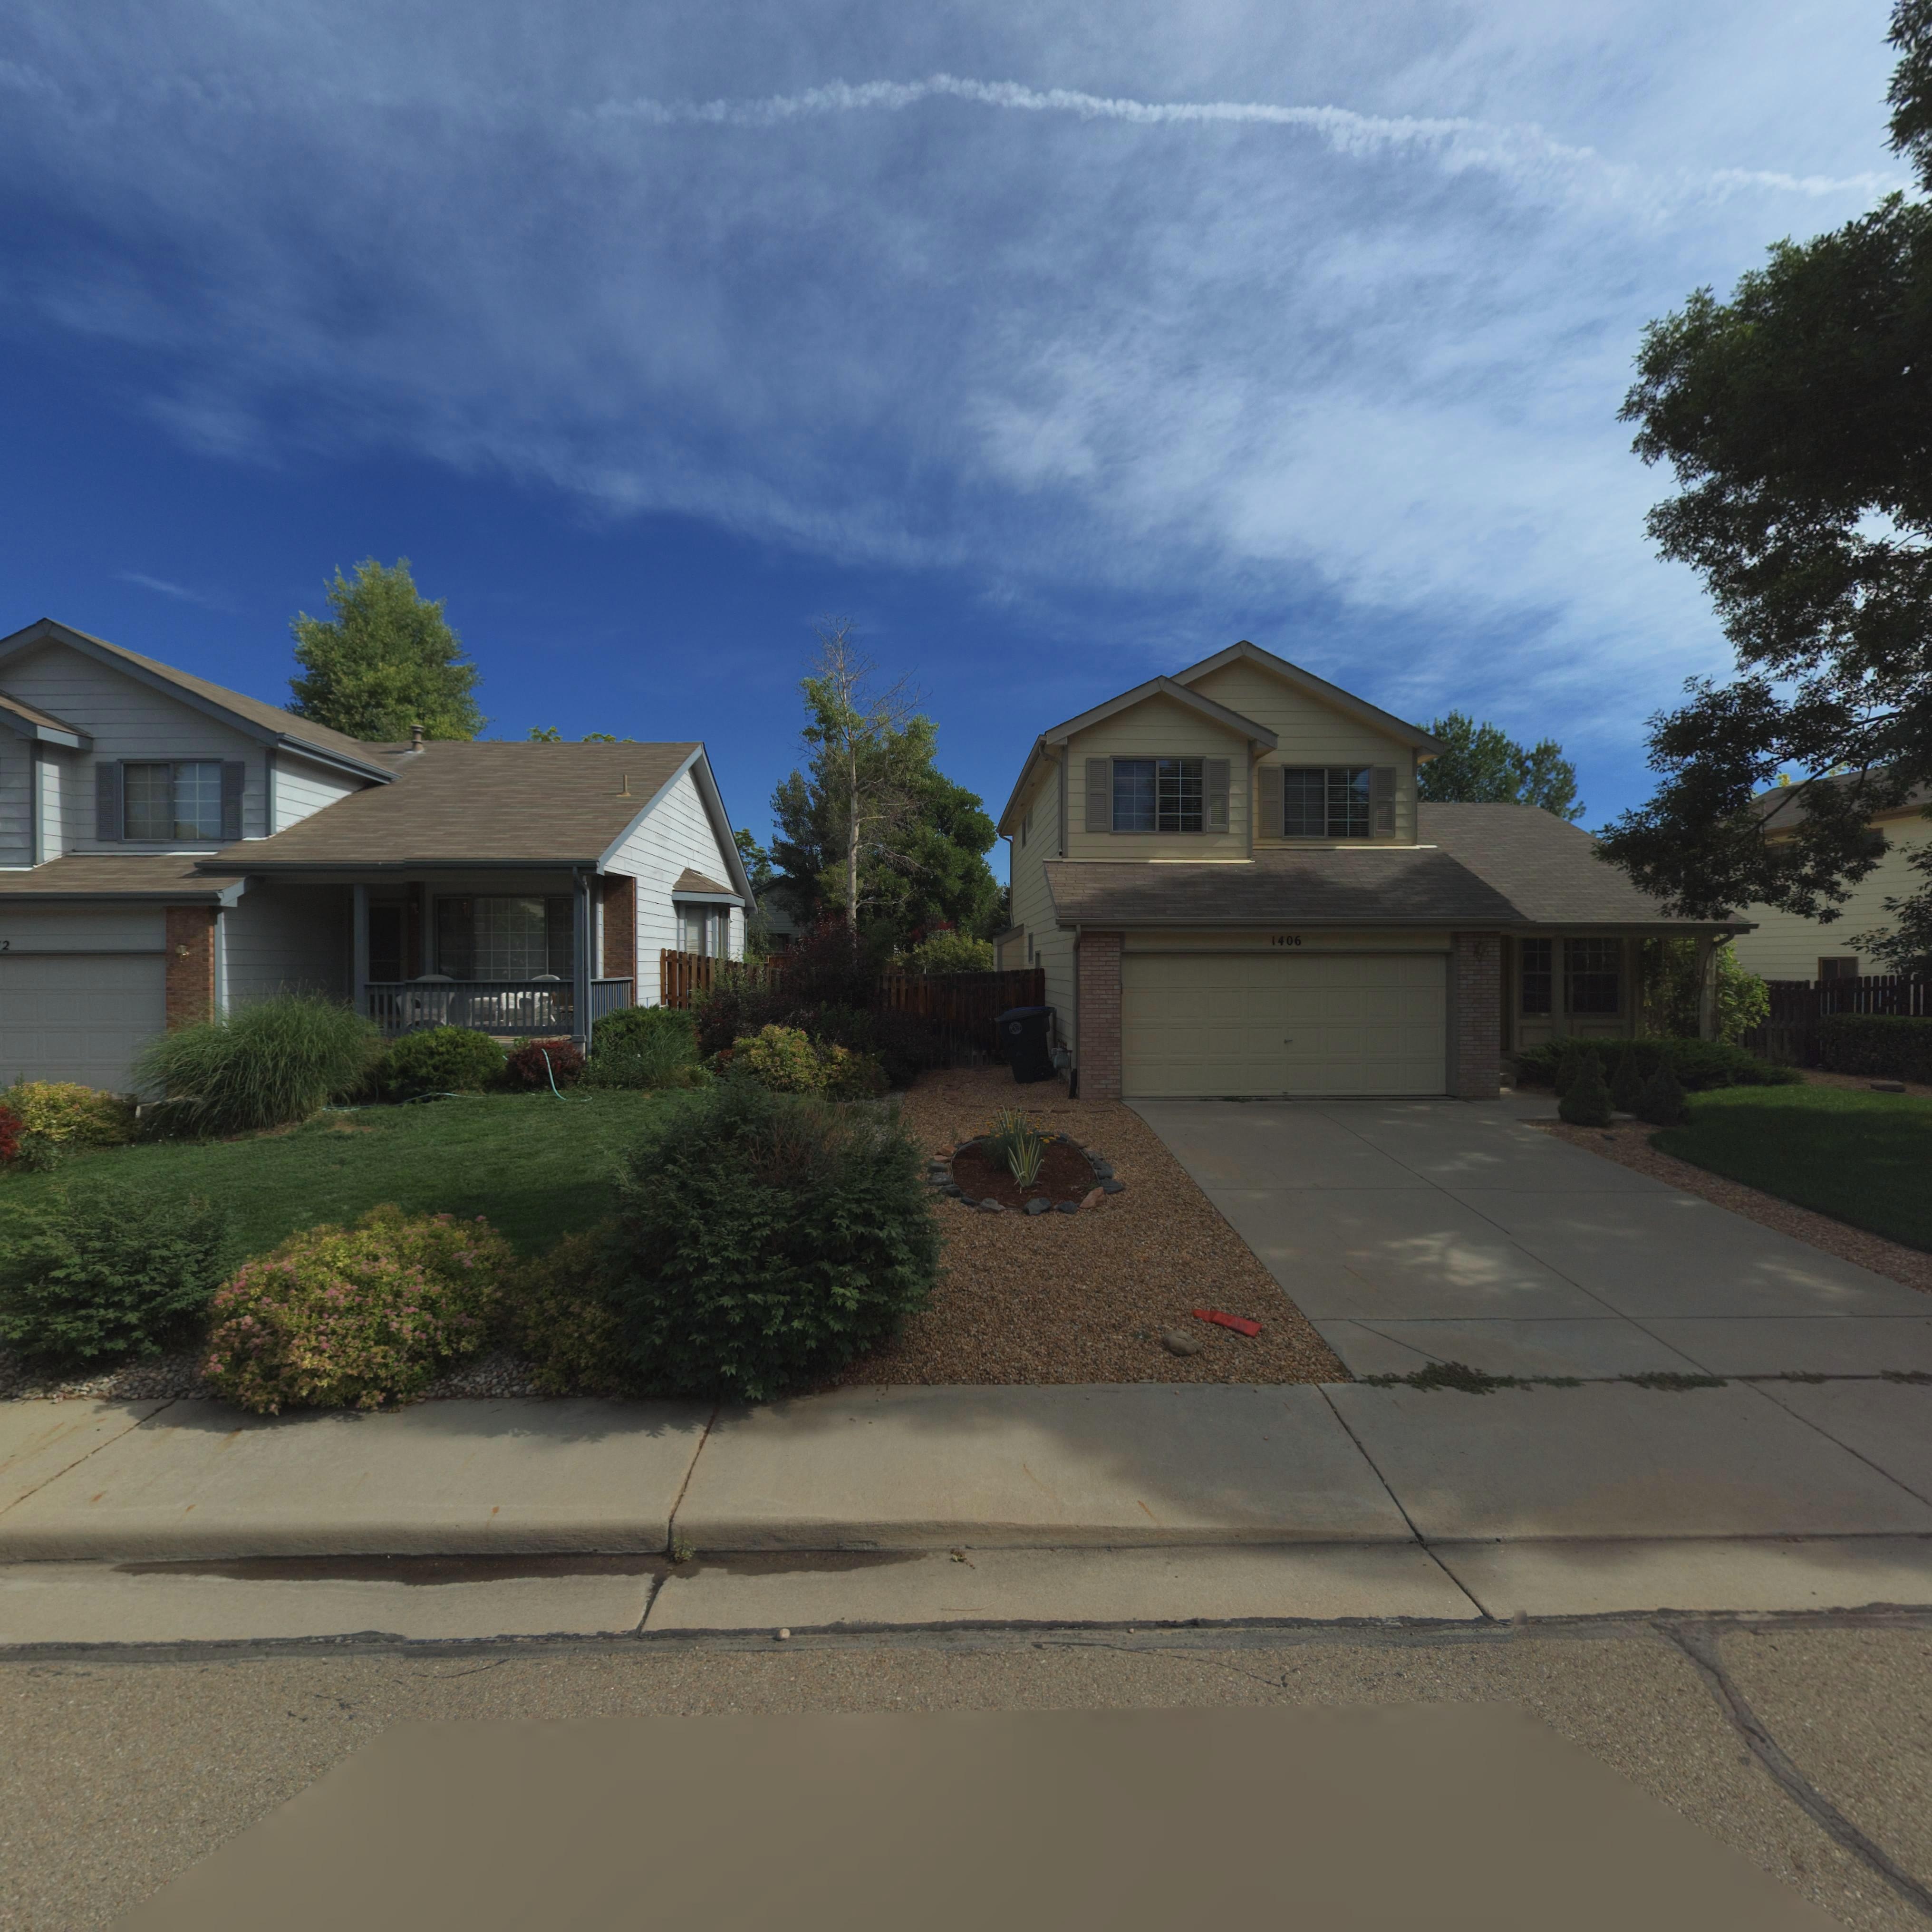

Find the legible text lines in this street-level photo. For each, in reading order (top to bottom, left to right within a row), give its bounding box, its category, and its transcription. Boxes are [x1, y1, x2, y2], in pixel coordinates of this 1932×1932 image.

[1, 939, 10, 949] StreetNumber: 2
[1272, 935, 1302, 946] StreetNumber: 1406